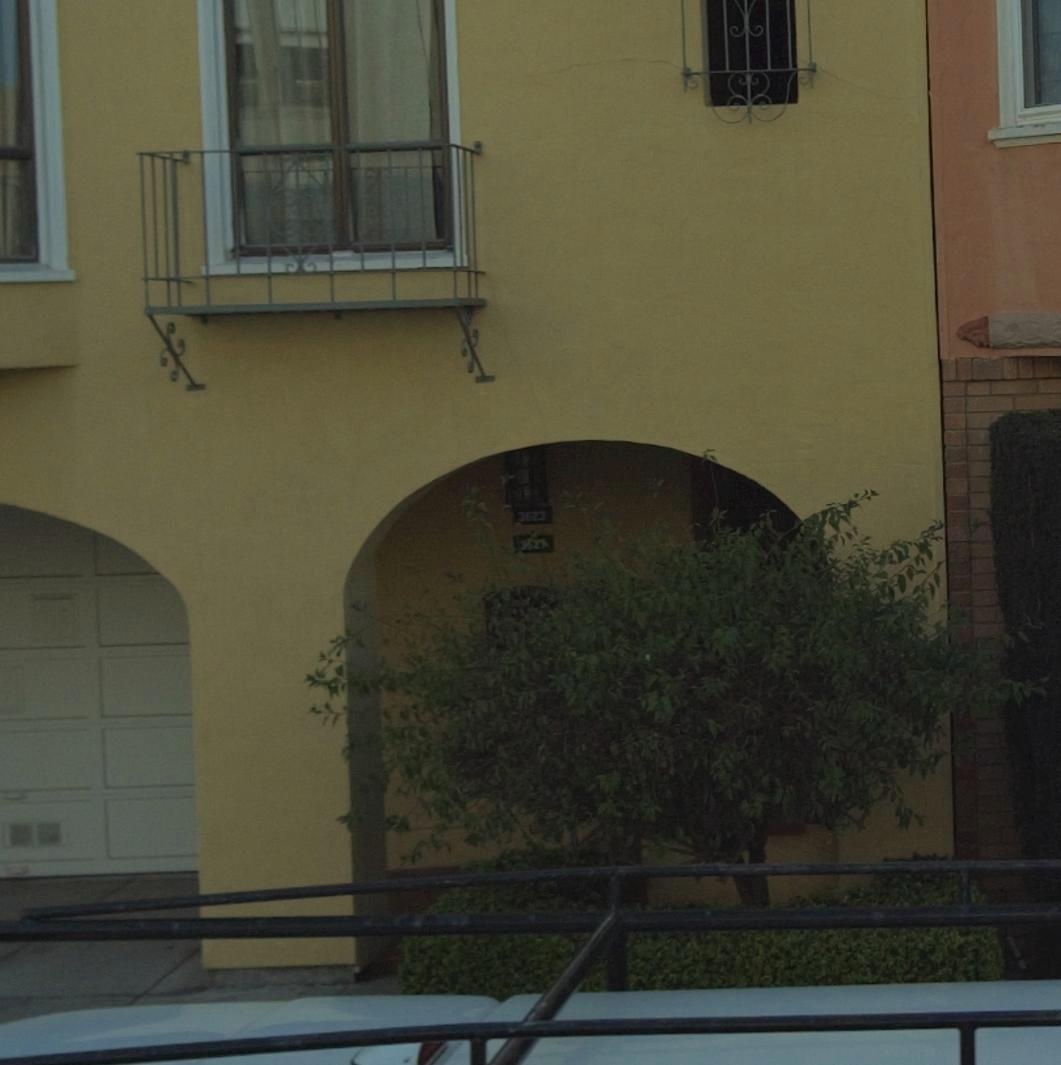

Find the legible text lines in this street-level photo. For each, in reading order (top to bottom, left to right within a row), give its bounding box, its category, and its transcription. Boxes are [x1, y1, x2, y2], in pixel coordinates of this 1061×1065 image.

[515, 508, 548, 524] StreetNumber: 3623